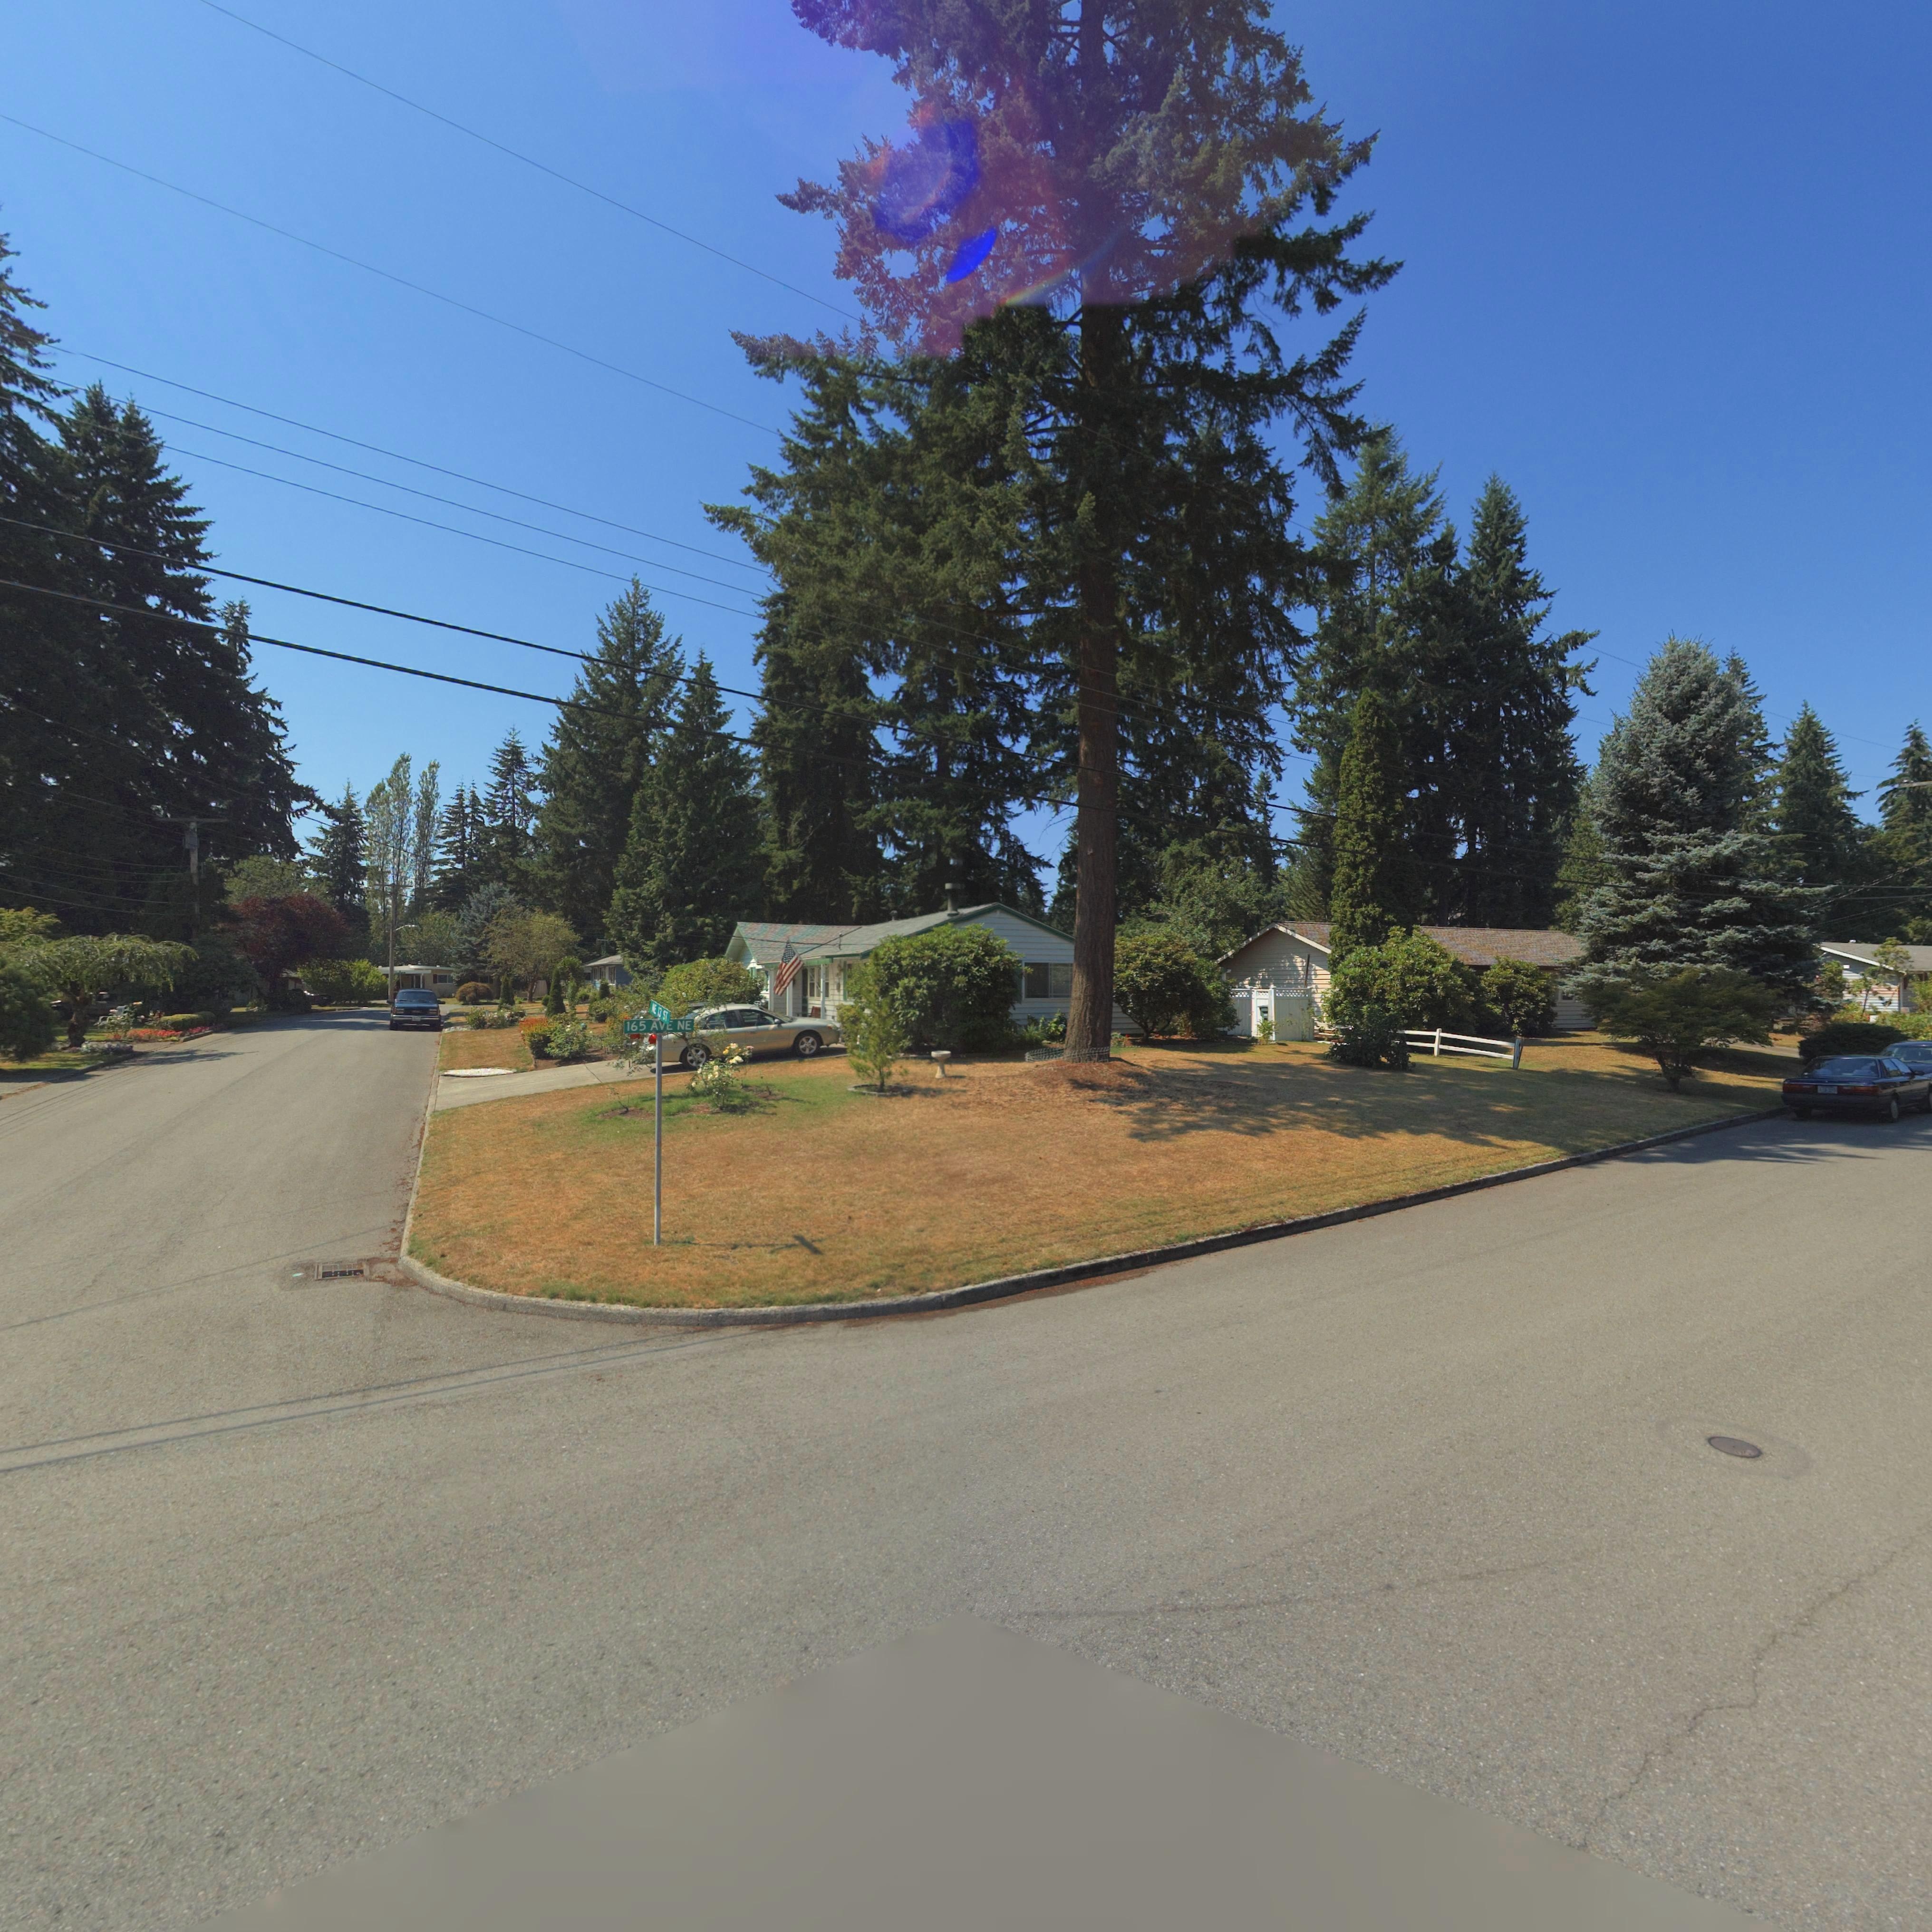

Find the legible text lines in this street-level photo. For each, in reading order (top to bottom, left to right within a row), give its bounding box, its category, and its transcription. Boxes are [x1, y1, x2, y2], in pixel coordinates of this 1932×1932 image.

[650, 1002, 669, 1023] StreetNumber: NE 13 ST
[627, 1021, 691, 1031] StreetName: 165 AV NE